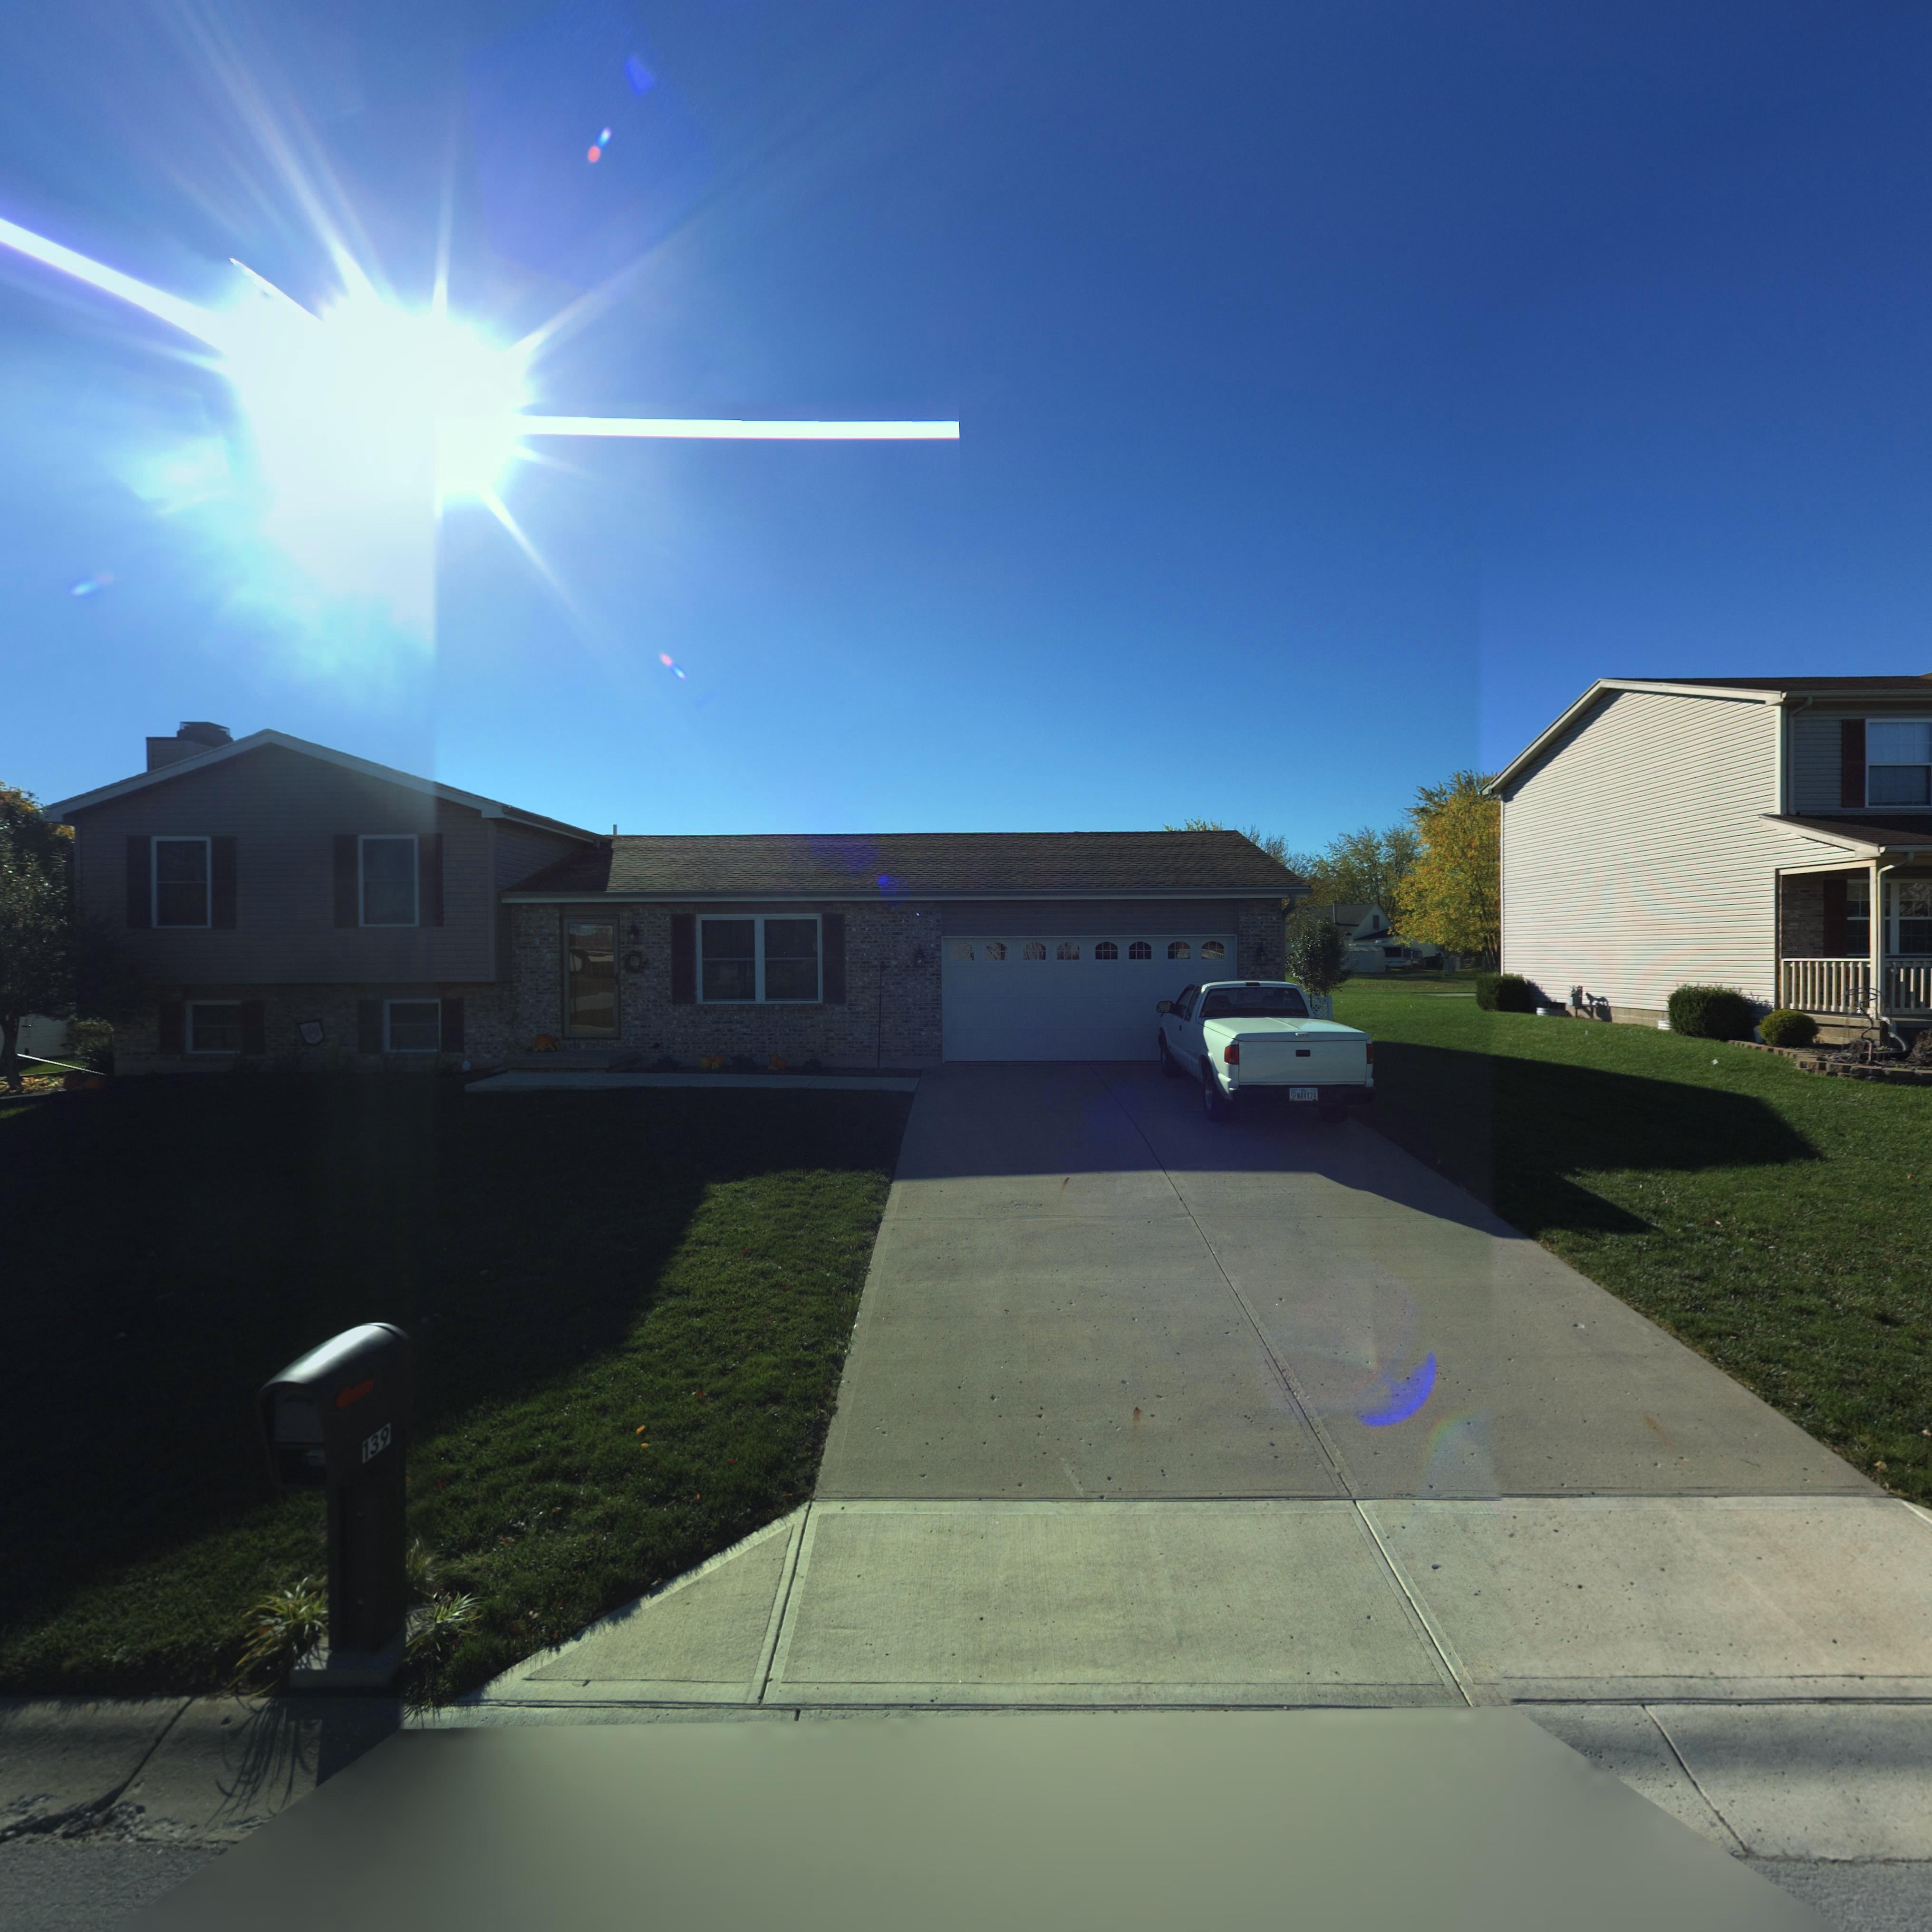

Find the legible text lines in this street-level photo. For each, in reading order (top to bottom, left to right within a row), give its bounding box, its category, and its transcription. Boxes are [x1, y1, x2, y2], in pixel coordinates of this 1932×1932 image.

[362, 1422, 391, 1465] StreetNumber: 139